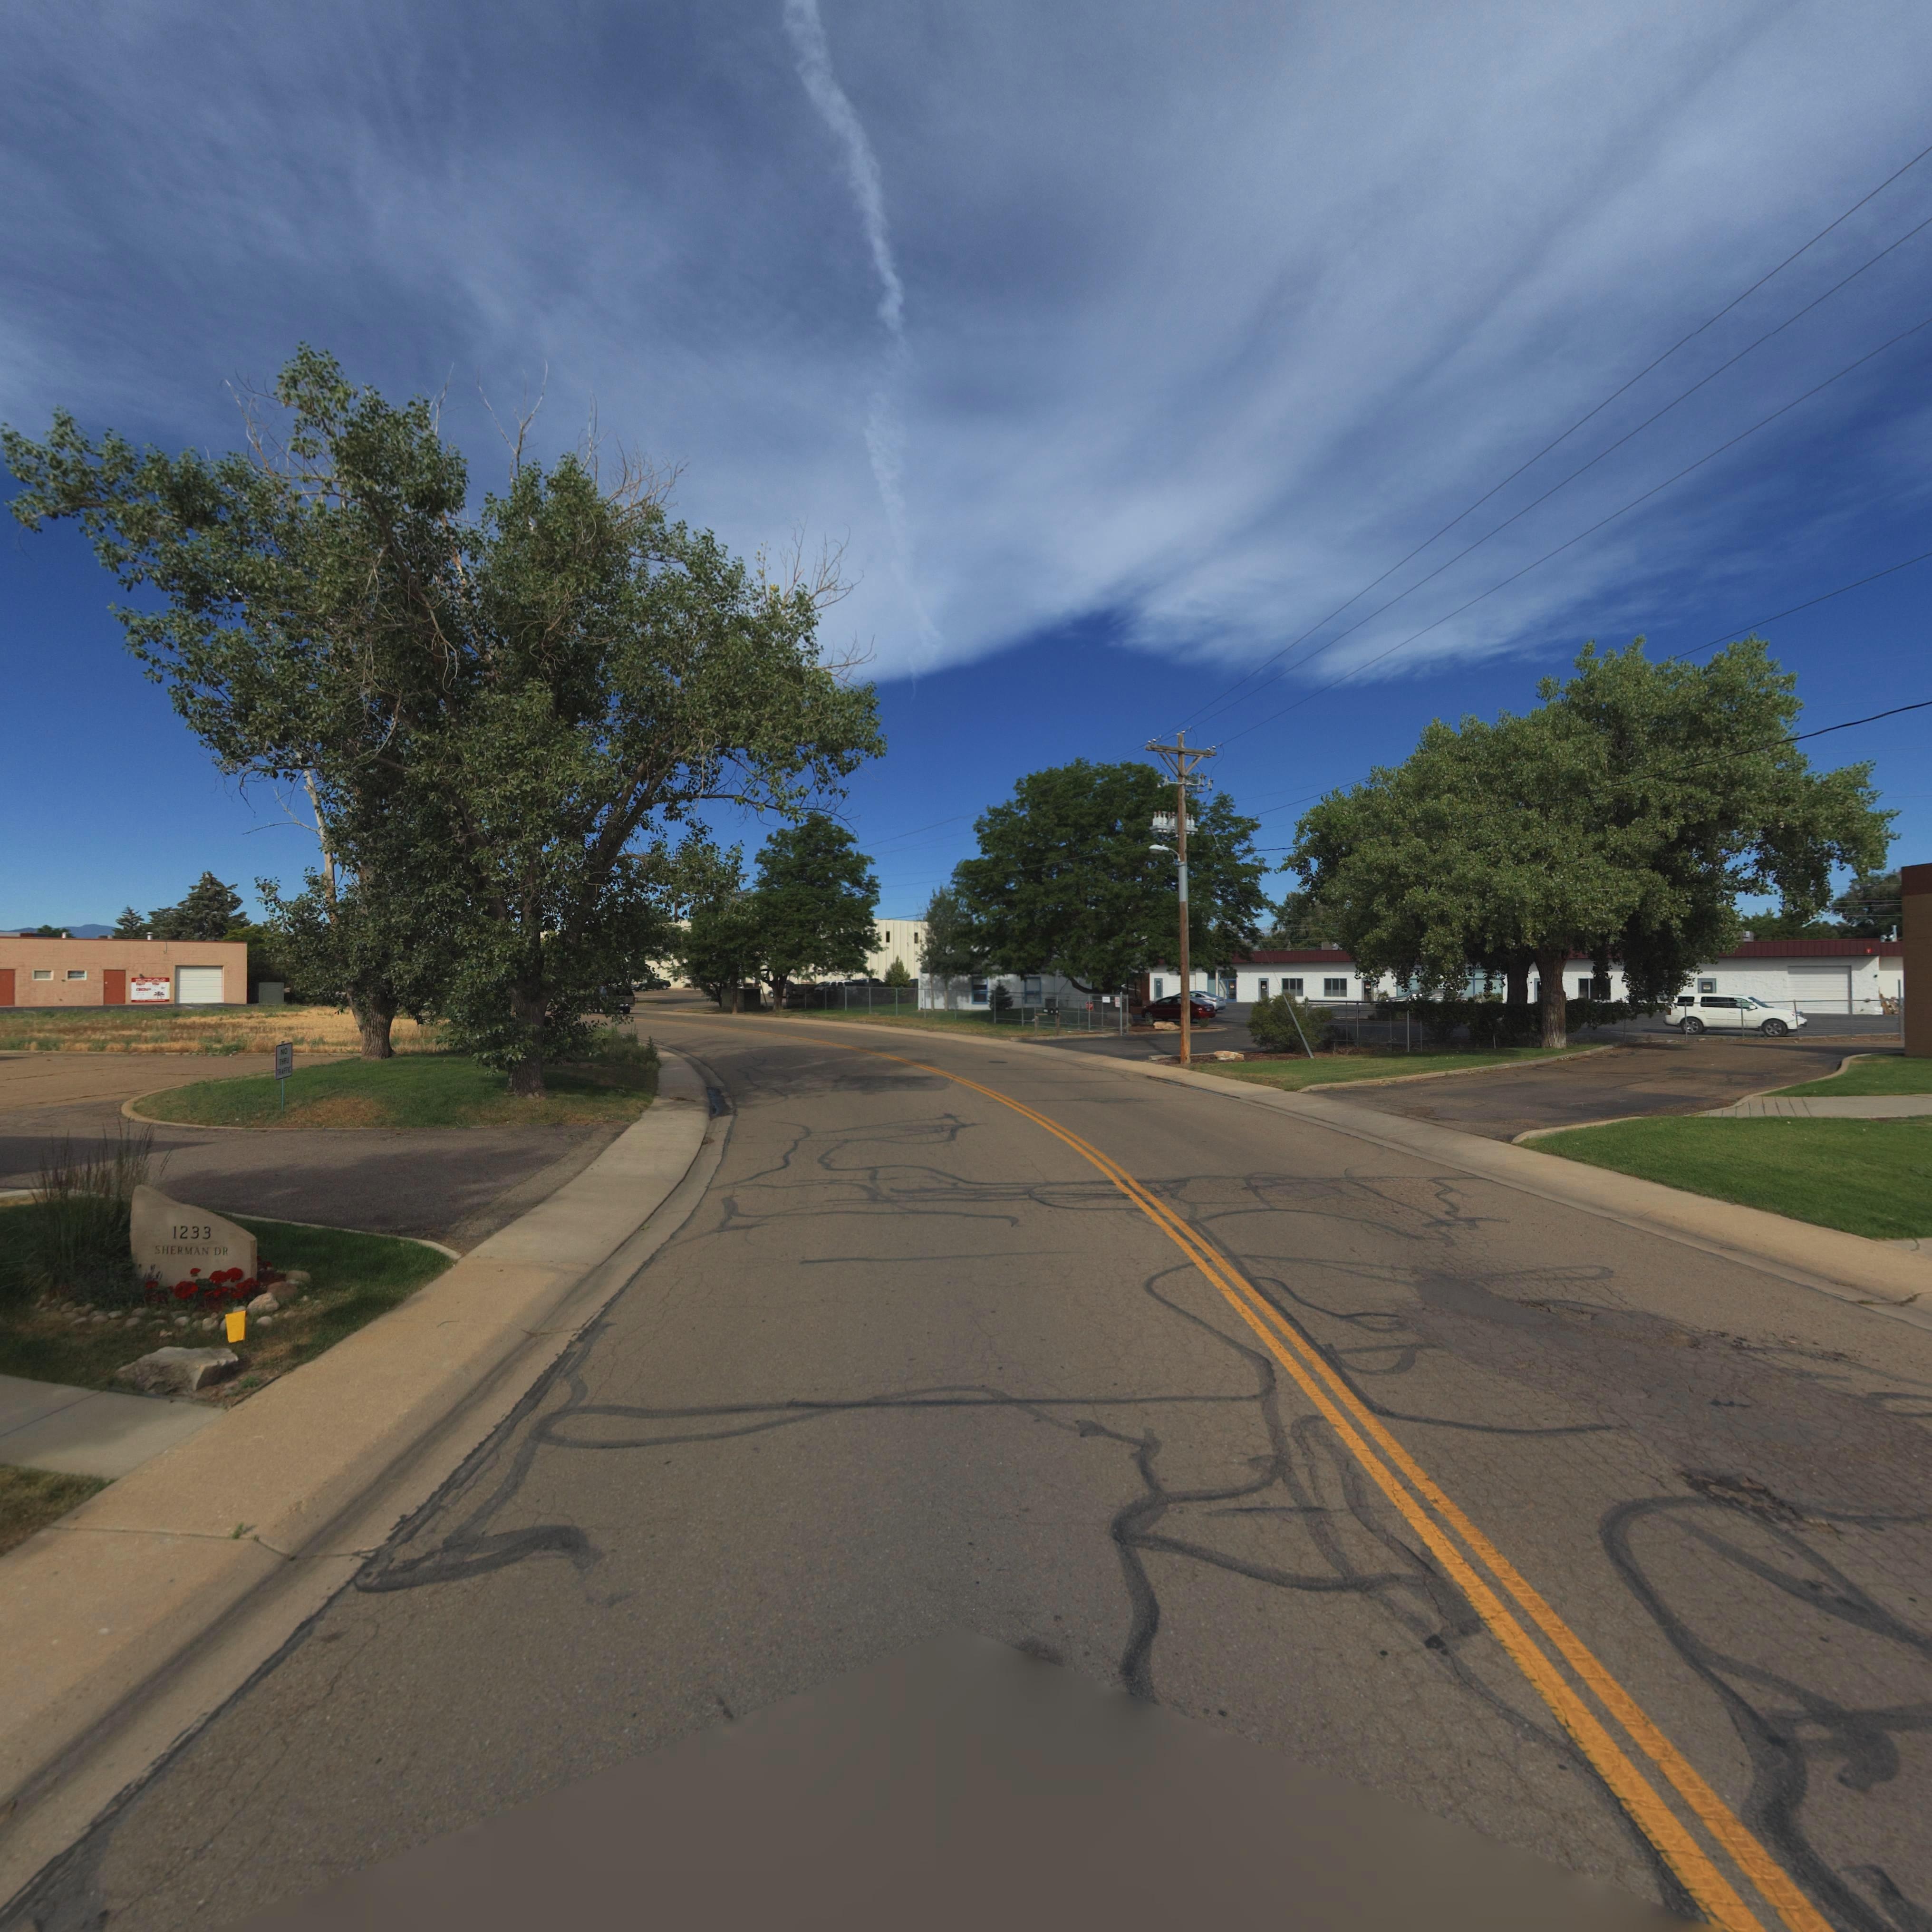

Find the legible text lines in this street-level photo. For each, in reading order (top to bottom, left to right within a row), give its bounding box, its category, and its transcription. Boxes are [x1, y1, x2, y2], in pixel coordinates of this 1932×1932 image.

[172, 1225, 212, 1240] StreetNumber: 1233
[154, 1244, 229, 1256] StreetName: SHERMAN DR